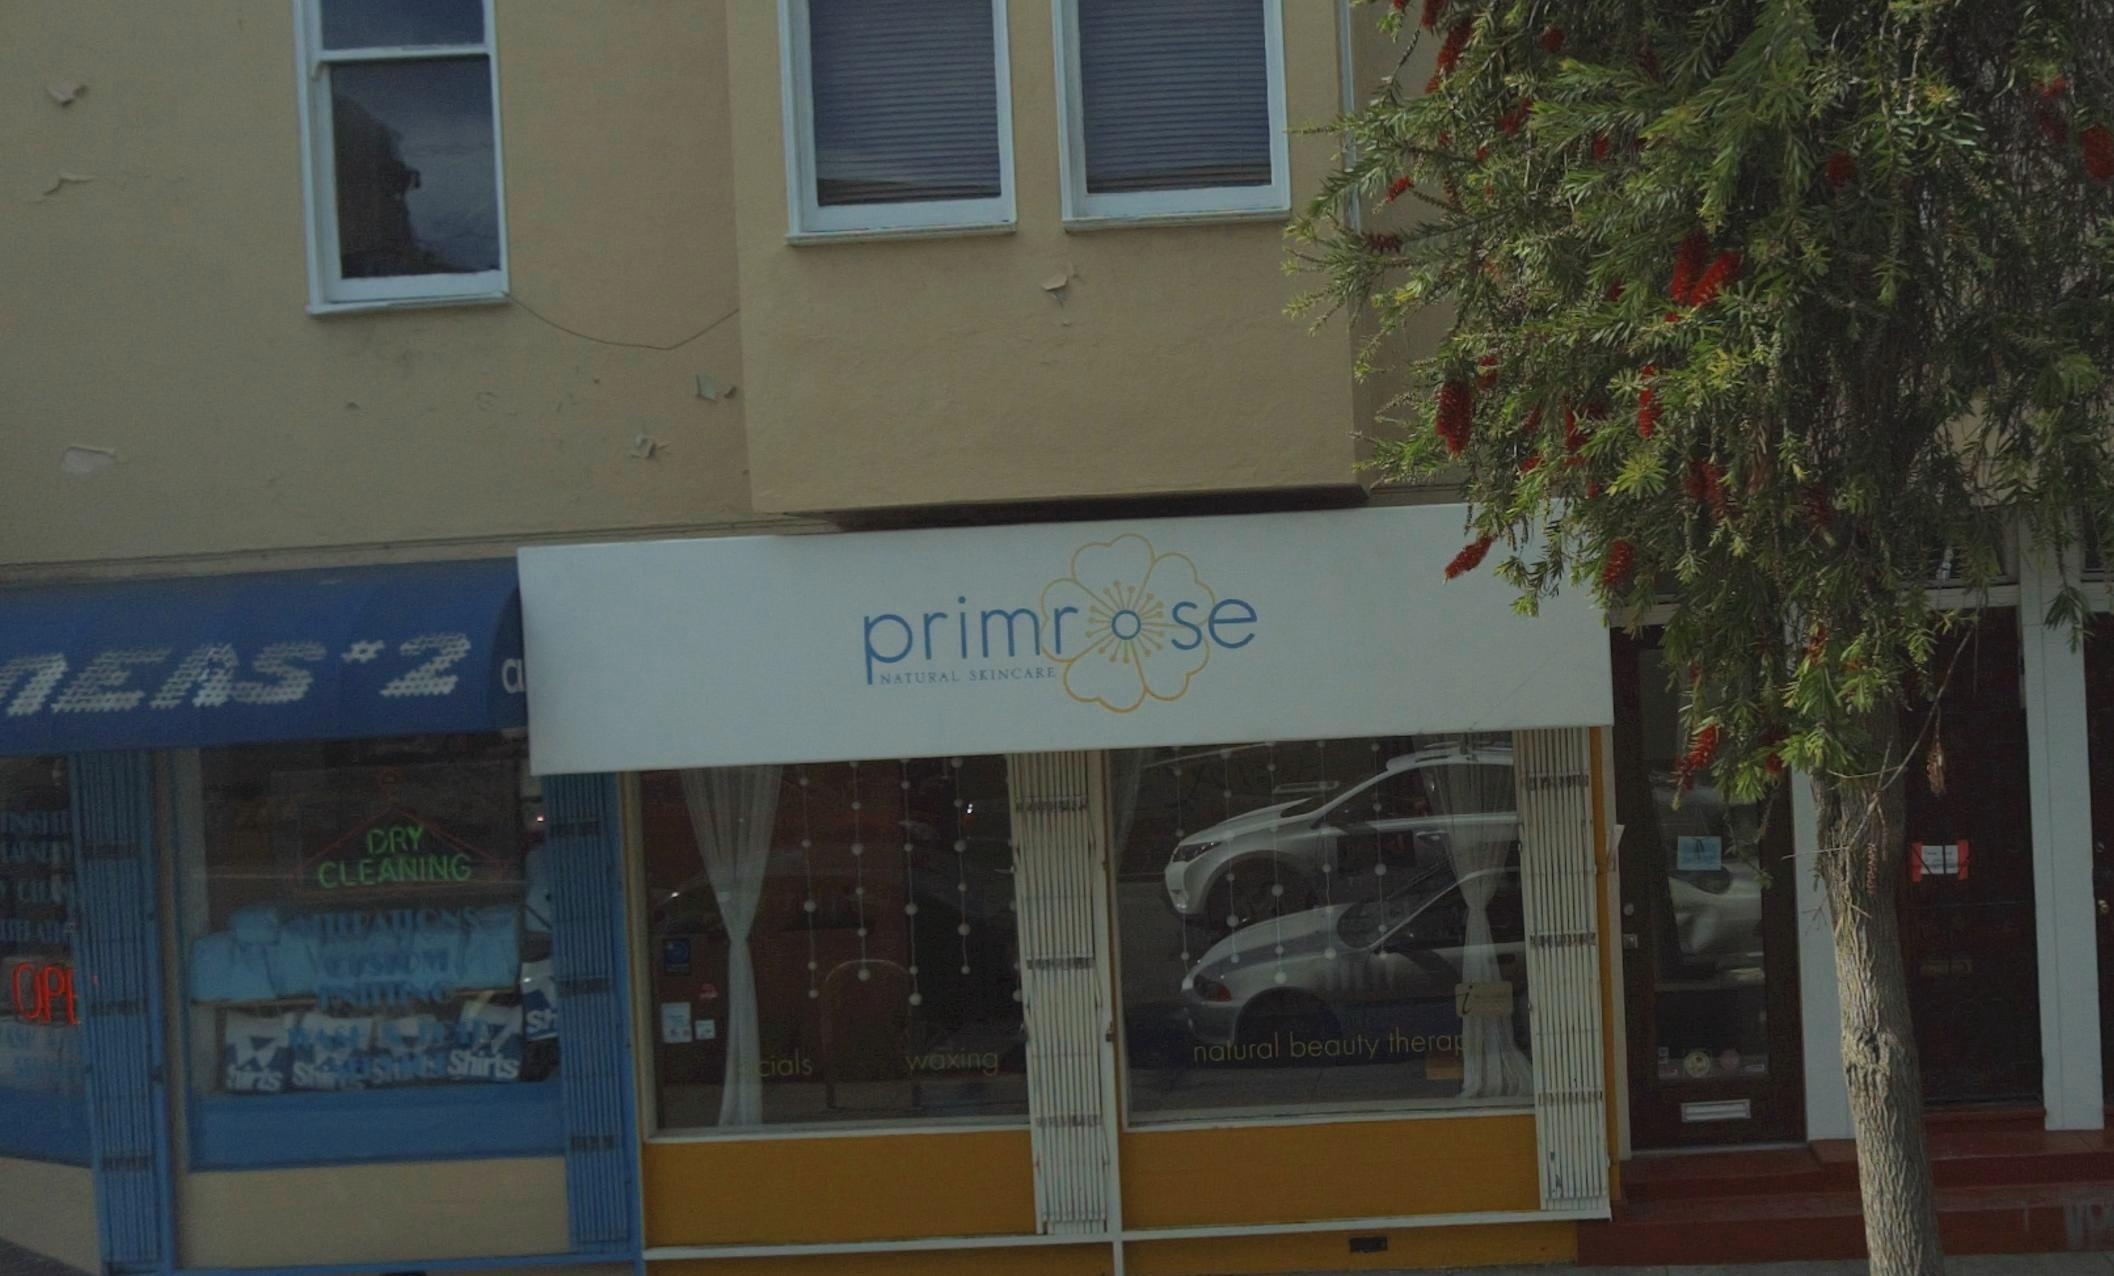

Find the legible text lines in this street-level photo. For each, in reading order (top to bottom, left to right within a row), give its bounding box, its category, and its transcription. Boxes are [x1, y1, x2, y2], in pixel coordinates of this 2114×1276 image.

[860, 589, 1260, 690] BusinessName: primrose
[41, 622, 484, 718] BusinessName: EAS#2
[497, 655, 529, 700] None: a
[872, 661, 1064, 693] None: NATURAL SKINCARE
[363, 820, 435, 861] None: DRY
[317, 849, 475, 895] None: CLEANING
[3, 957, 68, 1031] None: OP
[522, 1001, 563, 1039] None: Sh
[222, 1061, 284, 1096] None: hirts
[281, 1057, 367, 1093] None: Shirts
[446, 1046, 522, 1080] None: Shirts
[725, 1046, 815, 1088] None: facials
[901, 1043, 1002, 1084] None: waxing
[1189, 1023, 1488, 1067] None: natural beauty therapy